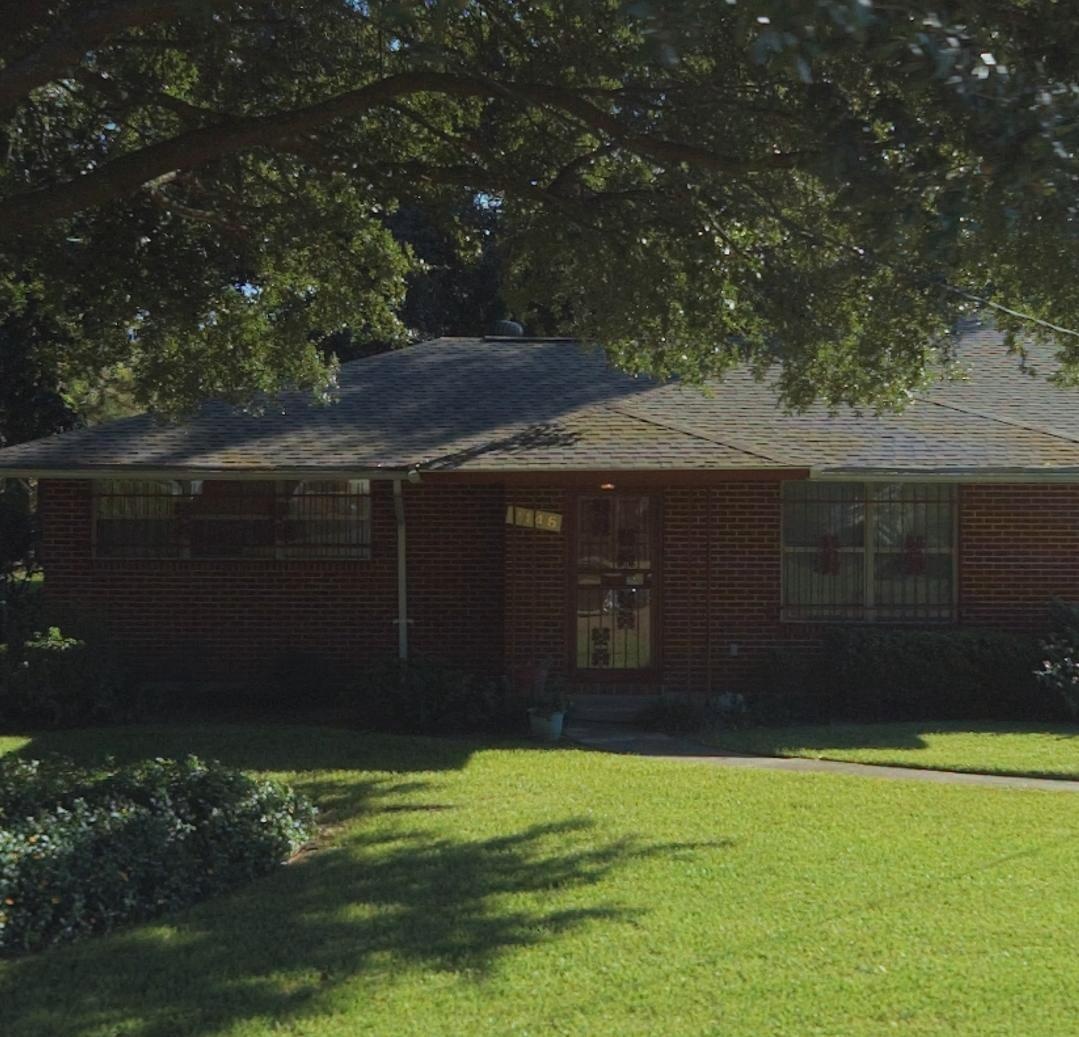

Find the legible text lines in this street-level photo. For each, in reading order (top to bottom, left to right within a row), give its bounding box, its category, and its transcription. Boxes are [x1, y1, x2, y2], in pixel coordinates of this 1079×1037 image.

[514, 507, 558, 530] StreetNumber: 2146